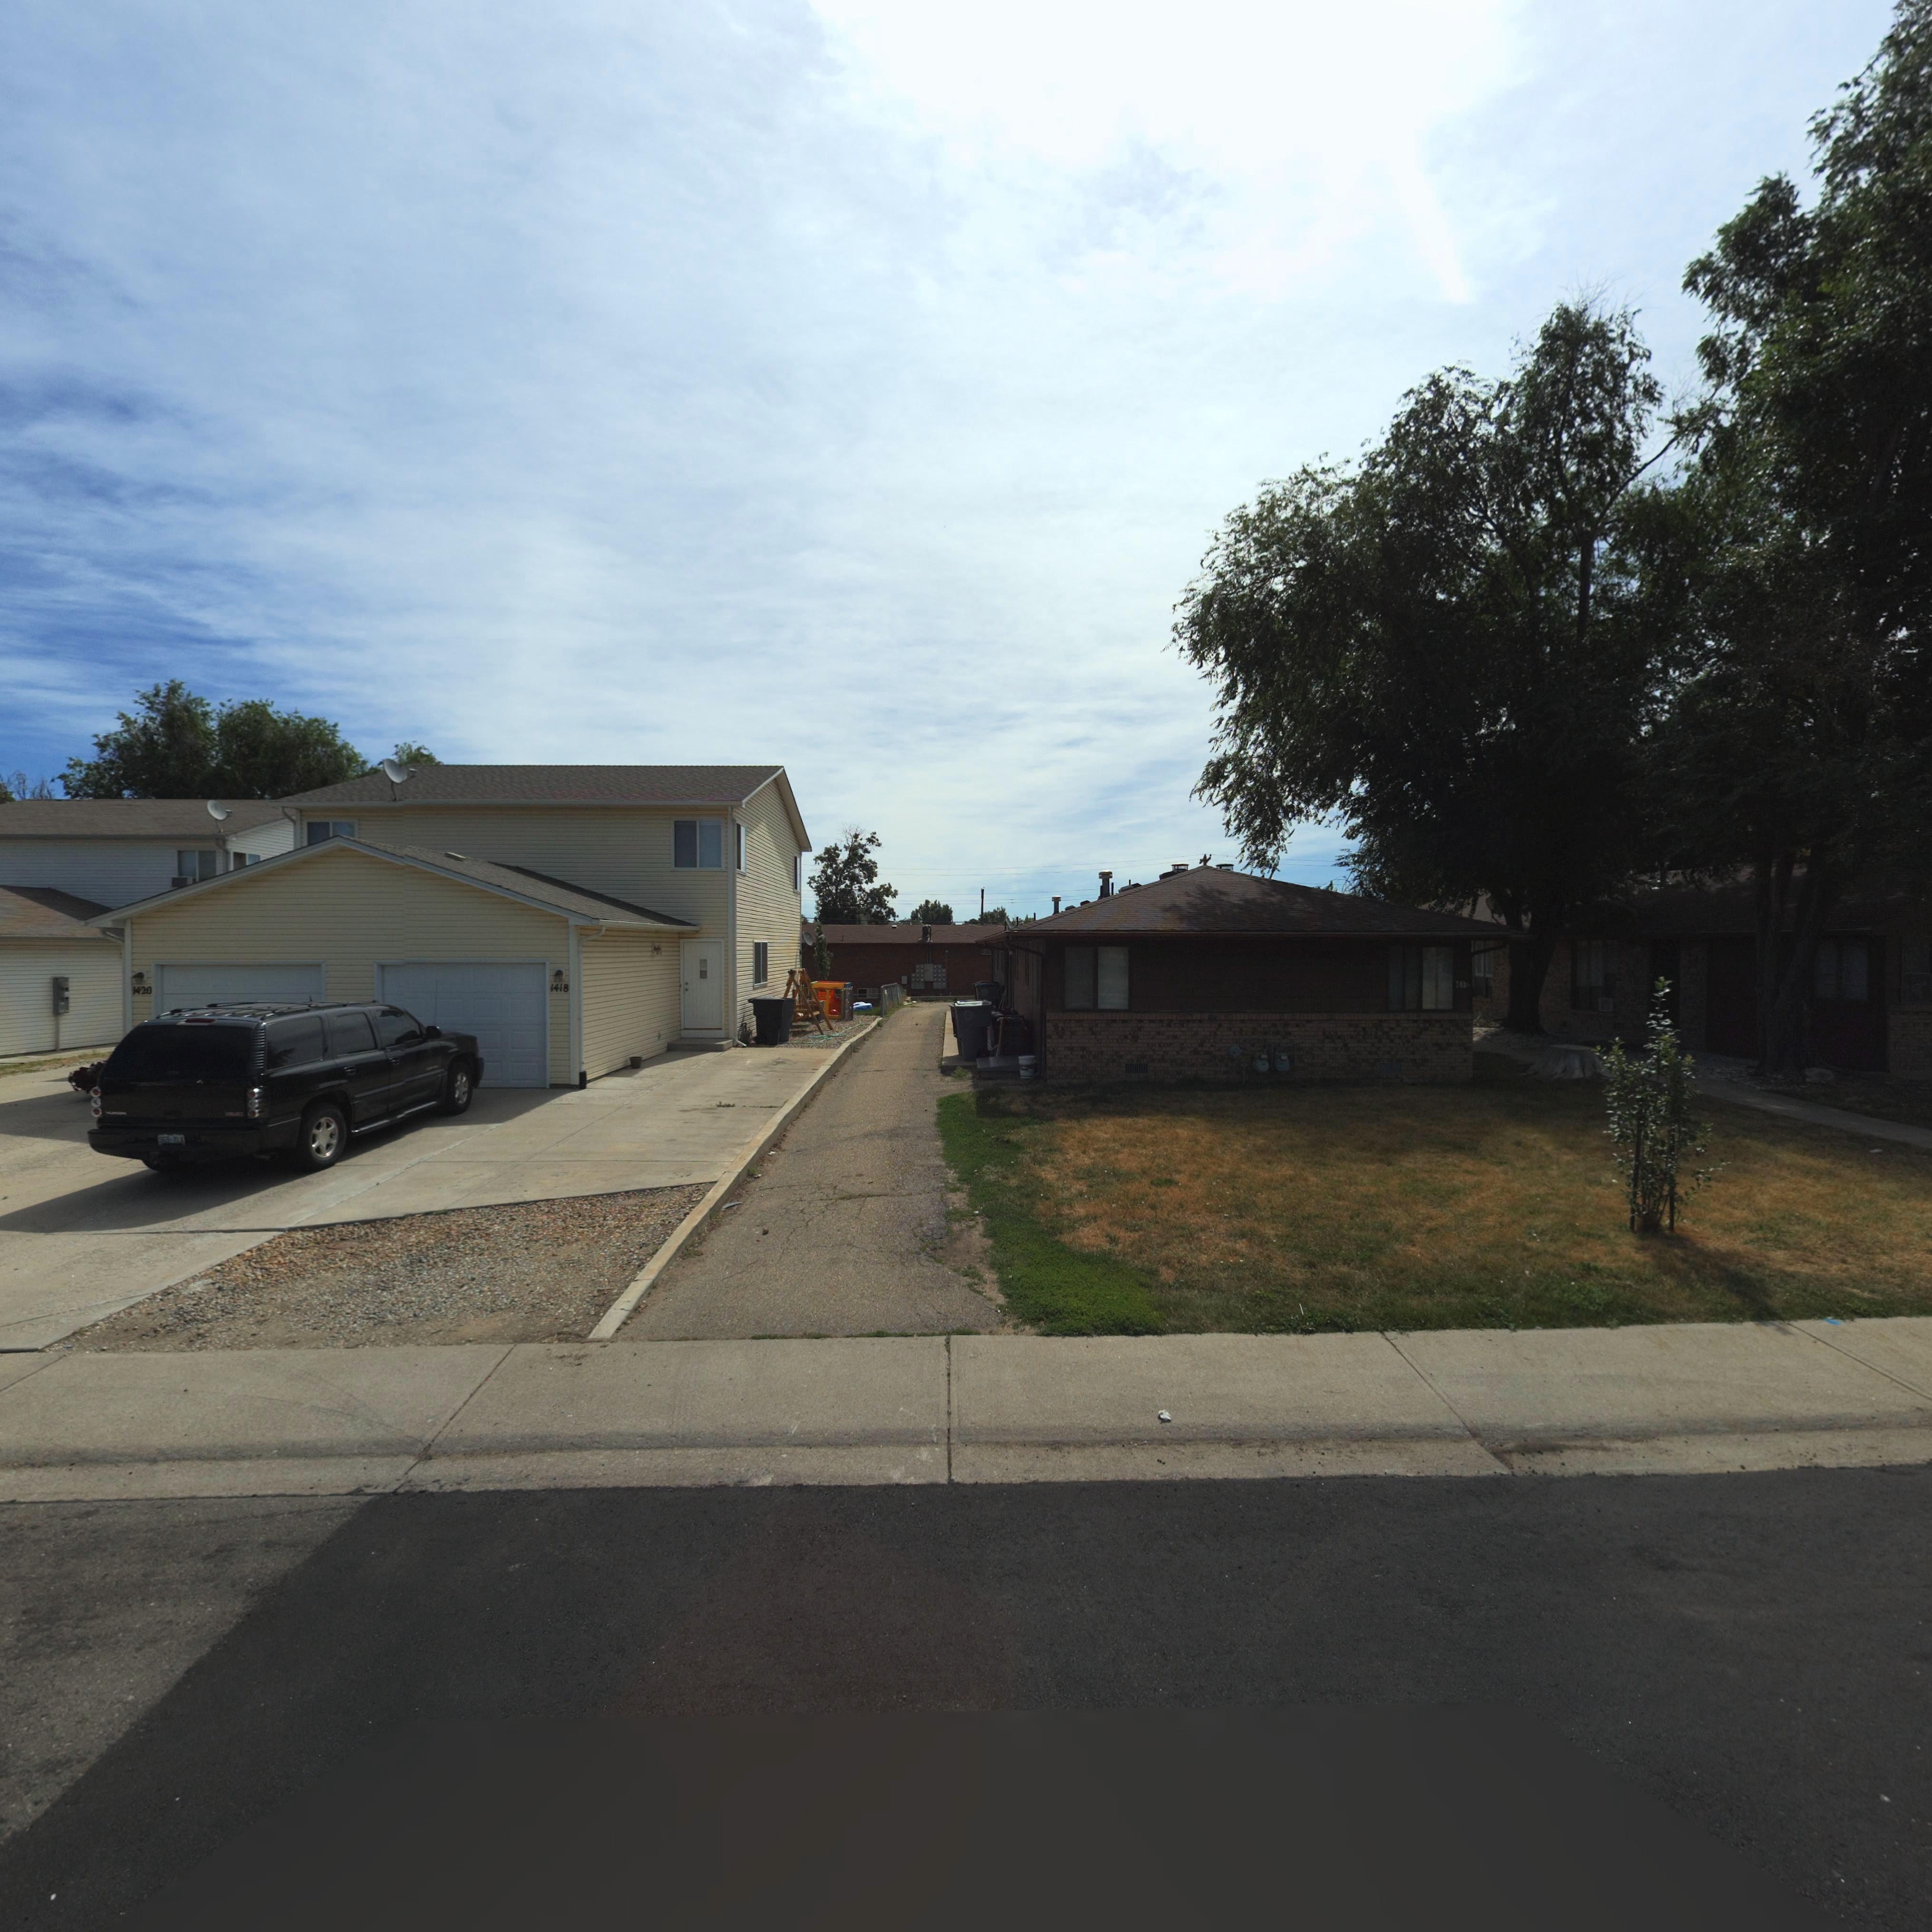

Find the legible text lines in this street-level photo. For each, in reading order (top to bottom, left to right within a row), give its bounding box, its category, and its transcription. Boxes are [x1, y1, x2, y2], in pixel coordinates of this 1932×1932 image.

[133, 985, 153, 995] StreetNumber: 1420
[551, 983, 569, 993] StreetNumber: 1418
[1455, 980, 1470, 988] StreetNumber: 141*